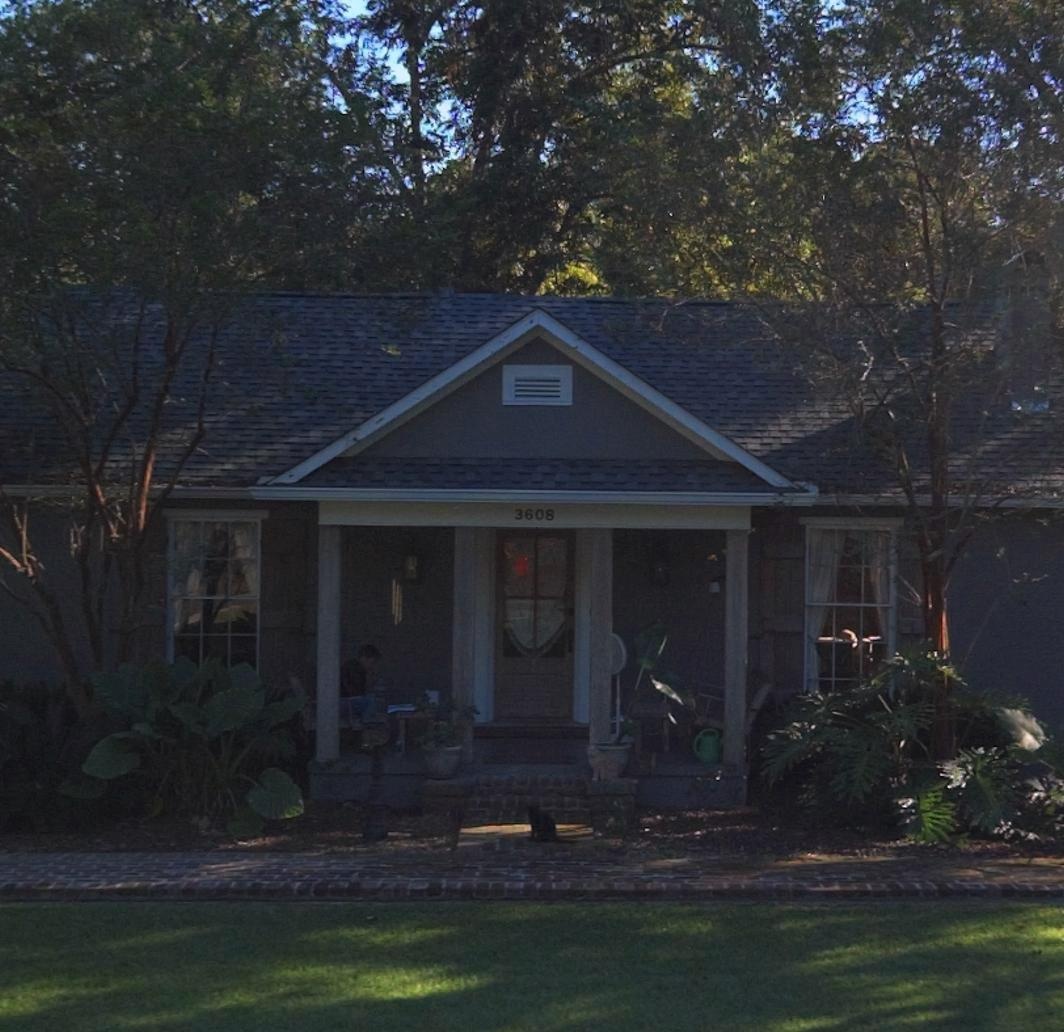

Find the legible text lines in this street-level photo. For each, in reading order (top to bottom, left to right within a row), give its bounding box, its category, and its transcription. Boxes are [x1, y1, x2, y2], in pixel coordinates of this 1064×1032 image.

[513, 507, 556, 522] StreetNumber: 3608